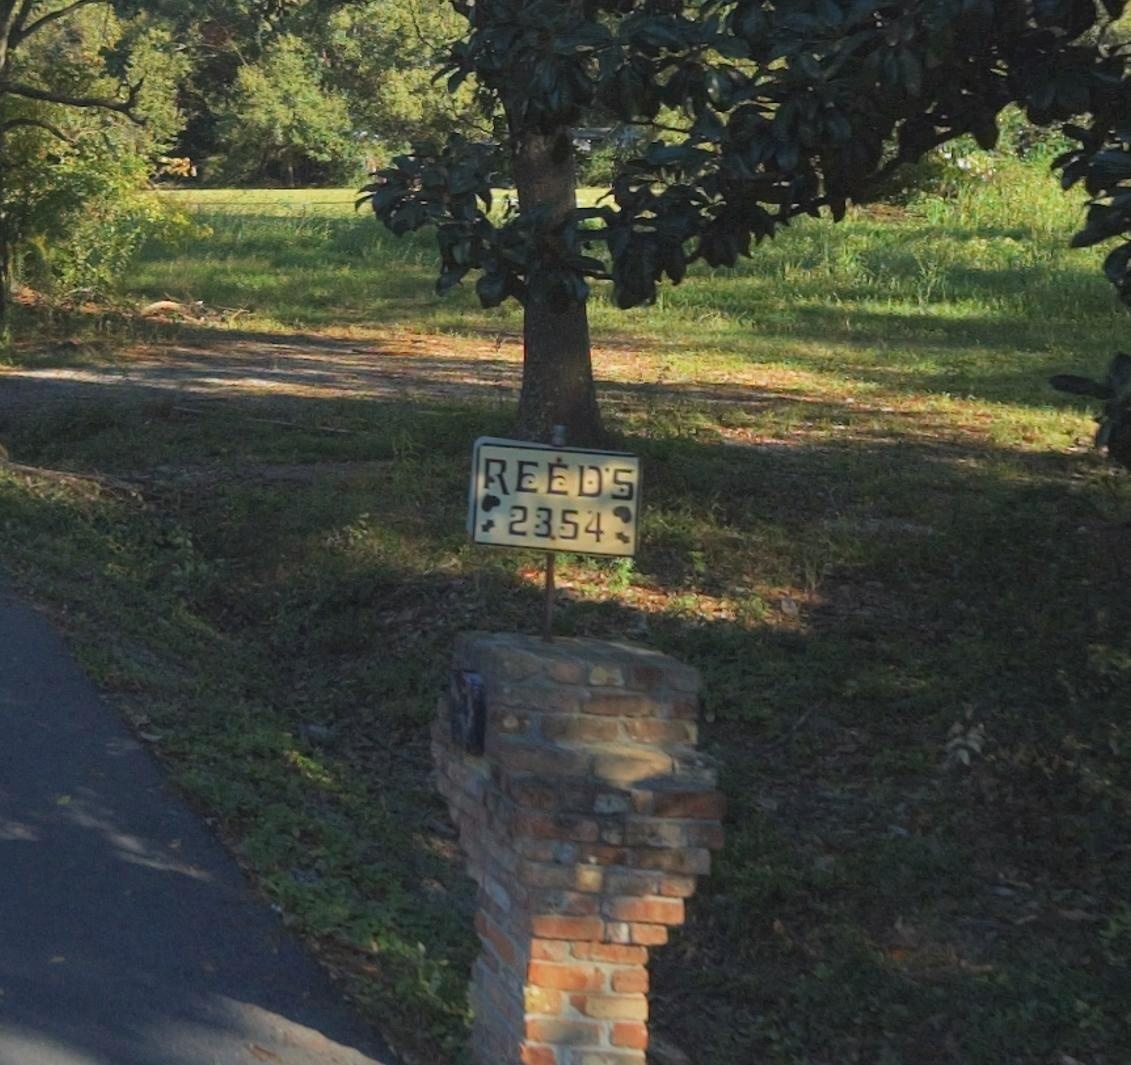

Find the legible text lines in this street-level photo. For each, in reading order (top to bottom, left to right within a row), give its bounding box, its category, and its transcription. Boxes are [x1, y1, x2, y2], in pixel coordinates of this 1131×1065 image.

[480, 455, 637, 502] None: REEDS
[505, 503, 608, 544] StreetNumber: 2354